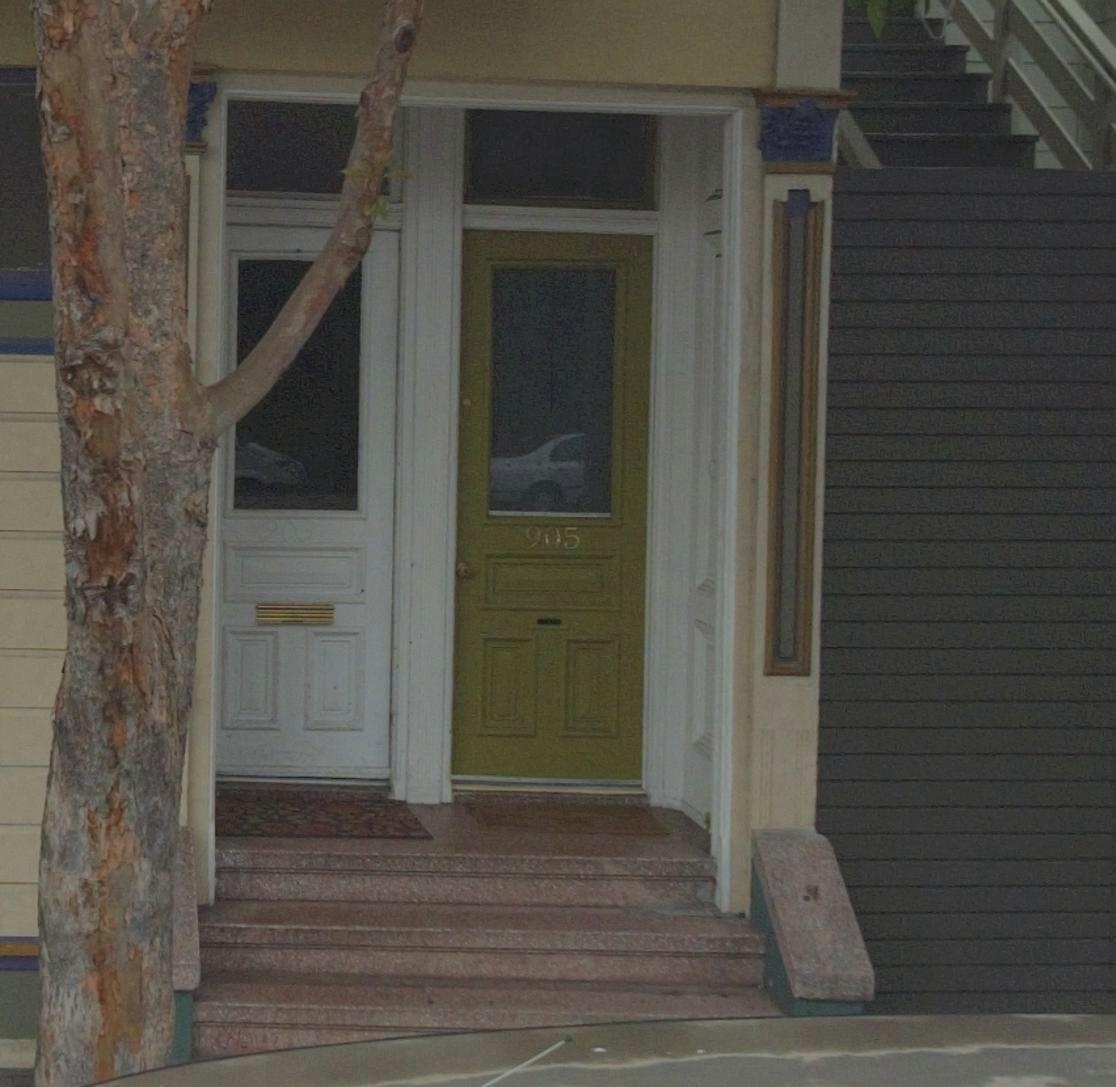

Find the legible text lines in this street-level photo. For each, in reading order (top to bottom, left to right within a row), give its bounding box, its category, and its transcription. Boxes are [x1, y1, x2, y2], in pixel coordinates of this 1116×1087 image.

[261, 517, 317, 544] StreetNumber: 903
[524, 524, 582, 551] StreetNumber: 905